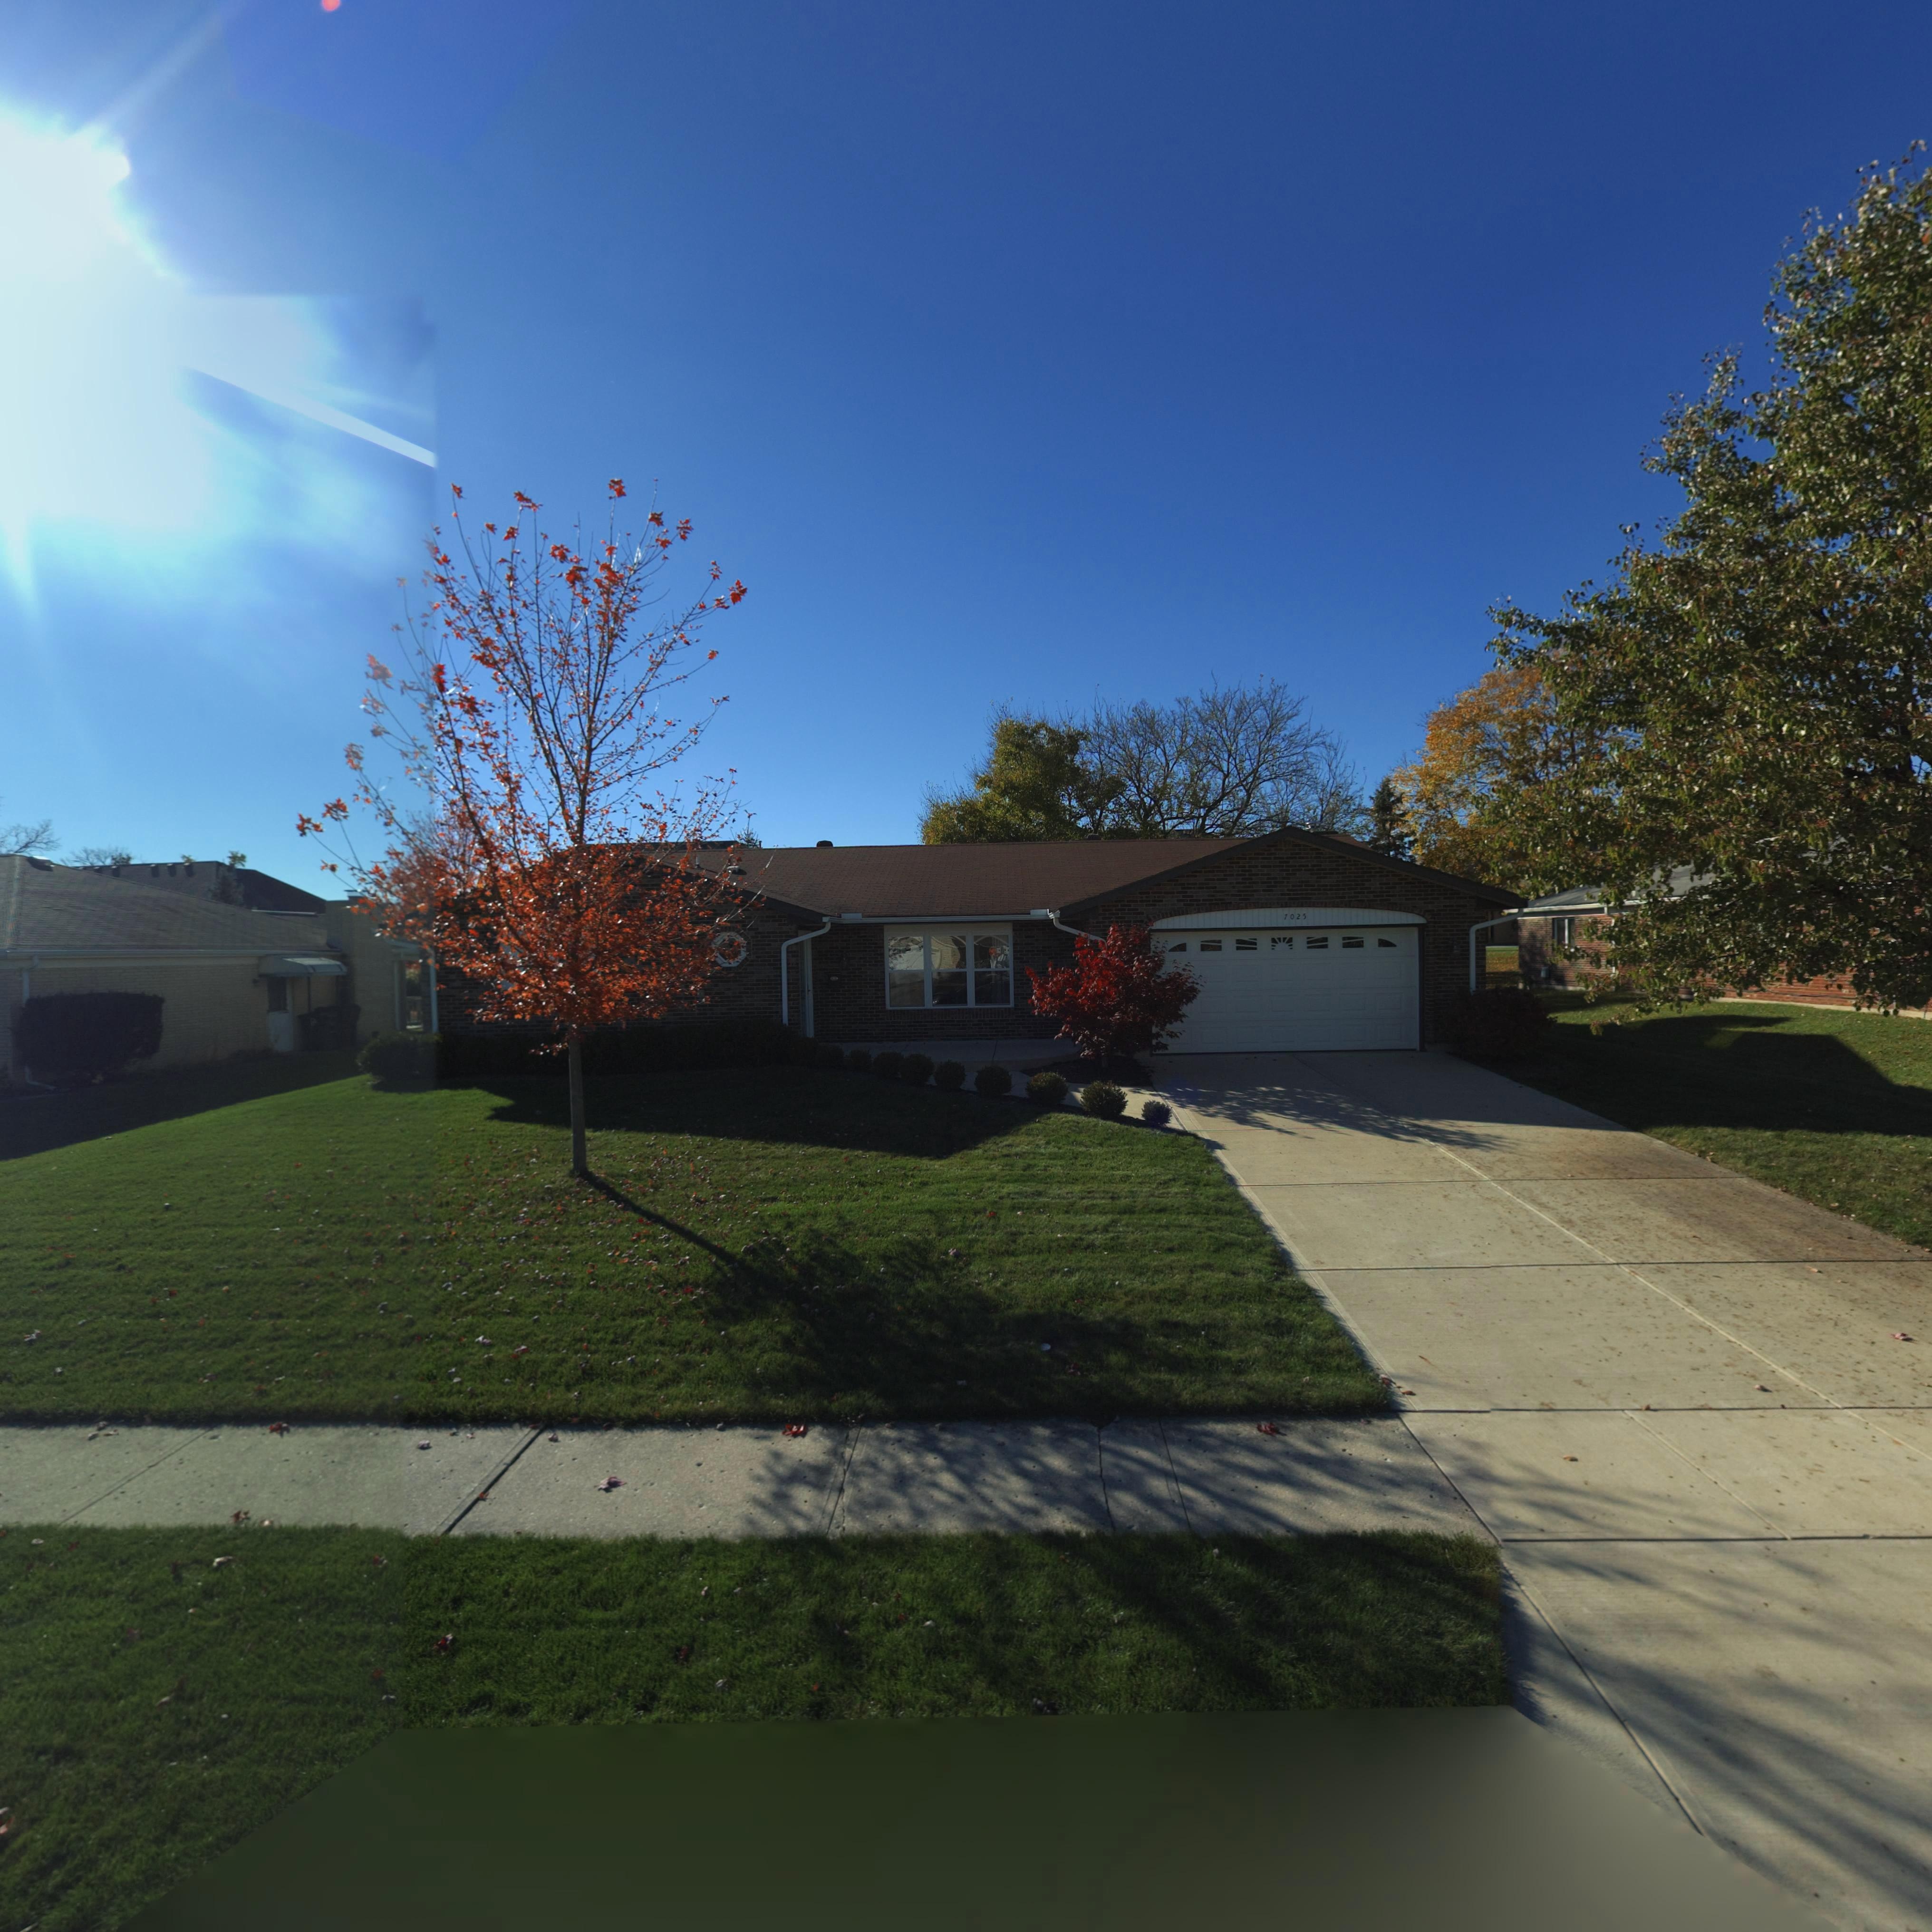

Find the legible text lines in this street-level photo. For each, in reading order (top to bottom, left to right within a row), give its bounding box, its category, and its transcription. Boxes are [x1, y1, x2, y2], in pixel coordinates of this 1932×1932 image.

[1284, 913, 1307, 920] StreetNumber: 7025